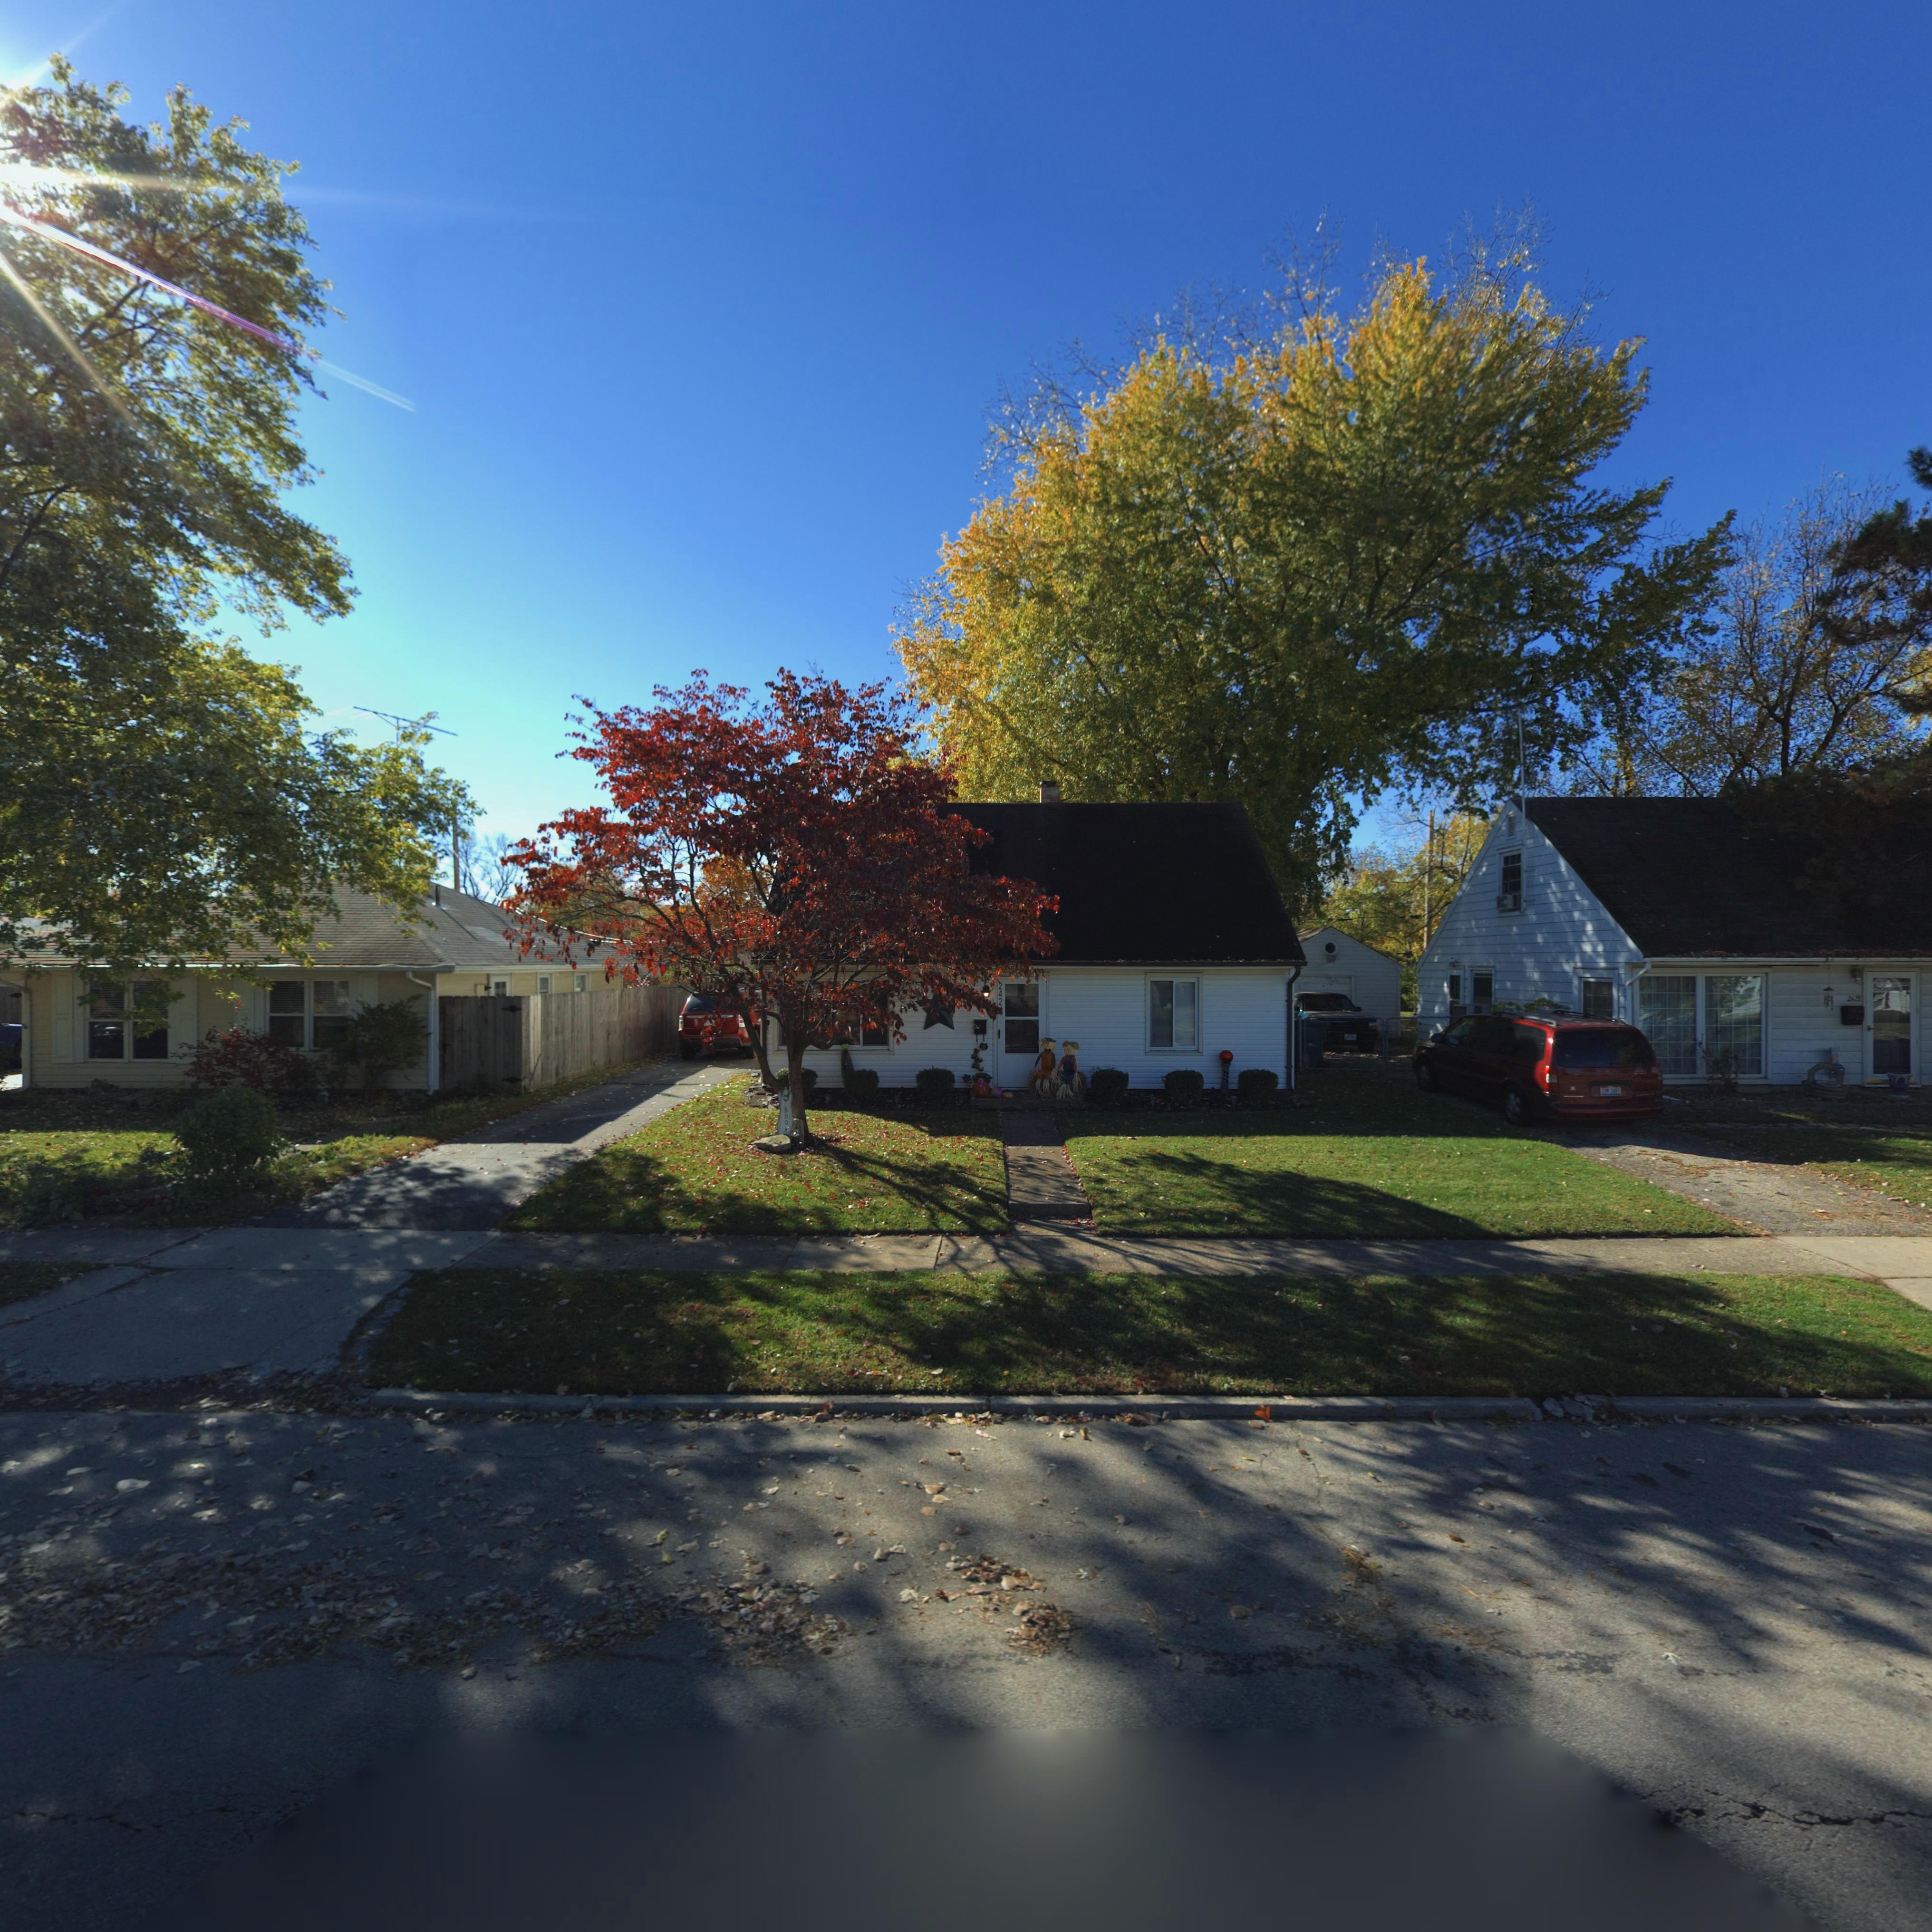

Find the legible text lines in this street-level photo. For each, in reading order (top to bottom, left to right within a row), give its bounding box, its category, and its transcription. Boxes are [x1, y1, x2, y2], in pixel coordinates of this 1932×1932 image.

[998, 981, 1003, 1013] StreetNumber: 242*
[1846, 995, 1862, 1002] StreetNumber: 2428